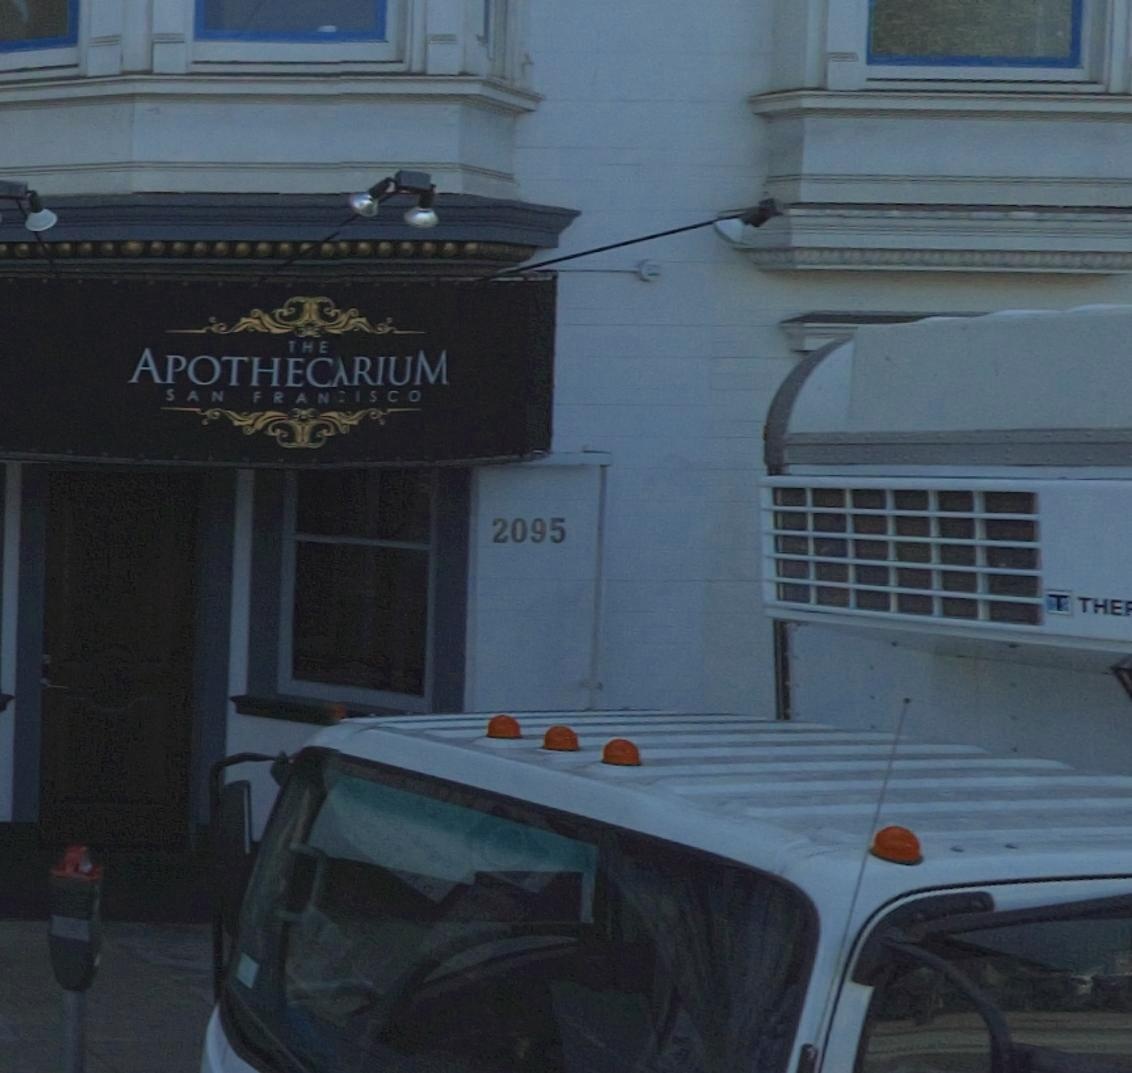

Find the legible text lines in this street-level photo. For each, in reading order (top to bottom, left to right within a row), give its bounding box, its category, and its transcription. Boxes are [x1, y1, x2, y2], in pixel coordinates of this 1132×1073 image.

[285, 337, 332, 356] BusinessName: THE
[123, 343, 454, 392] BusinessName: APOTHEC*RIUM
[162, 384, 426, 408] None: SAN FRAN*ICO
[488, 514, 568, 546] StreetNumber: 2095
[1043, 589, 1127, 620] None: T THE